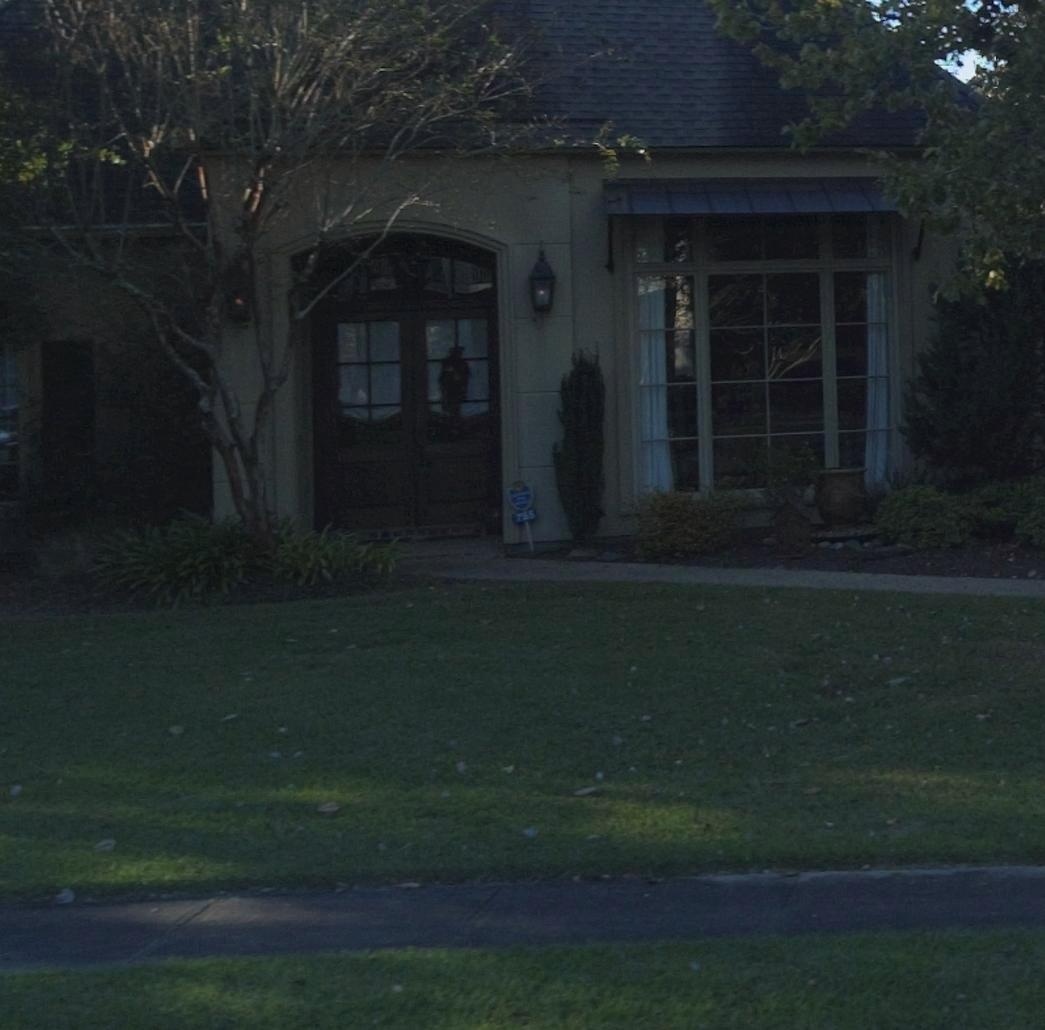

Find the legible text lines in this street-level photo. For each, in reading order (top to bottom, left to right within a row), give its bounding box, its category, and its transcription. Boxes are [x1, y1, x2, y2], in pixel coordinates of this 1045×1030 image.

[514, 508, 536, 524] StreetNumber: 755